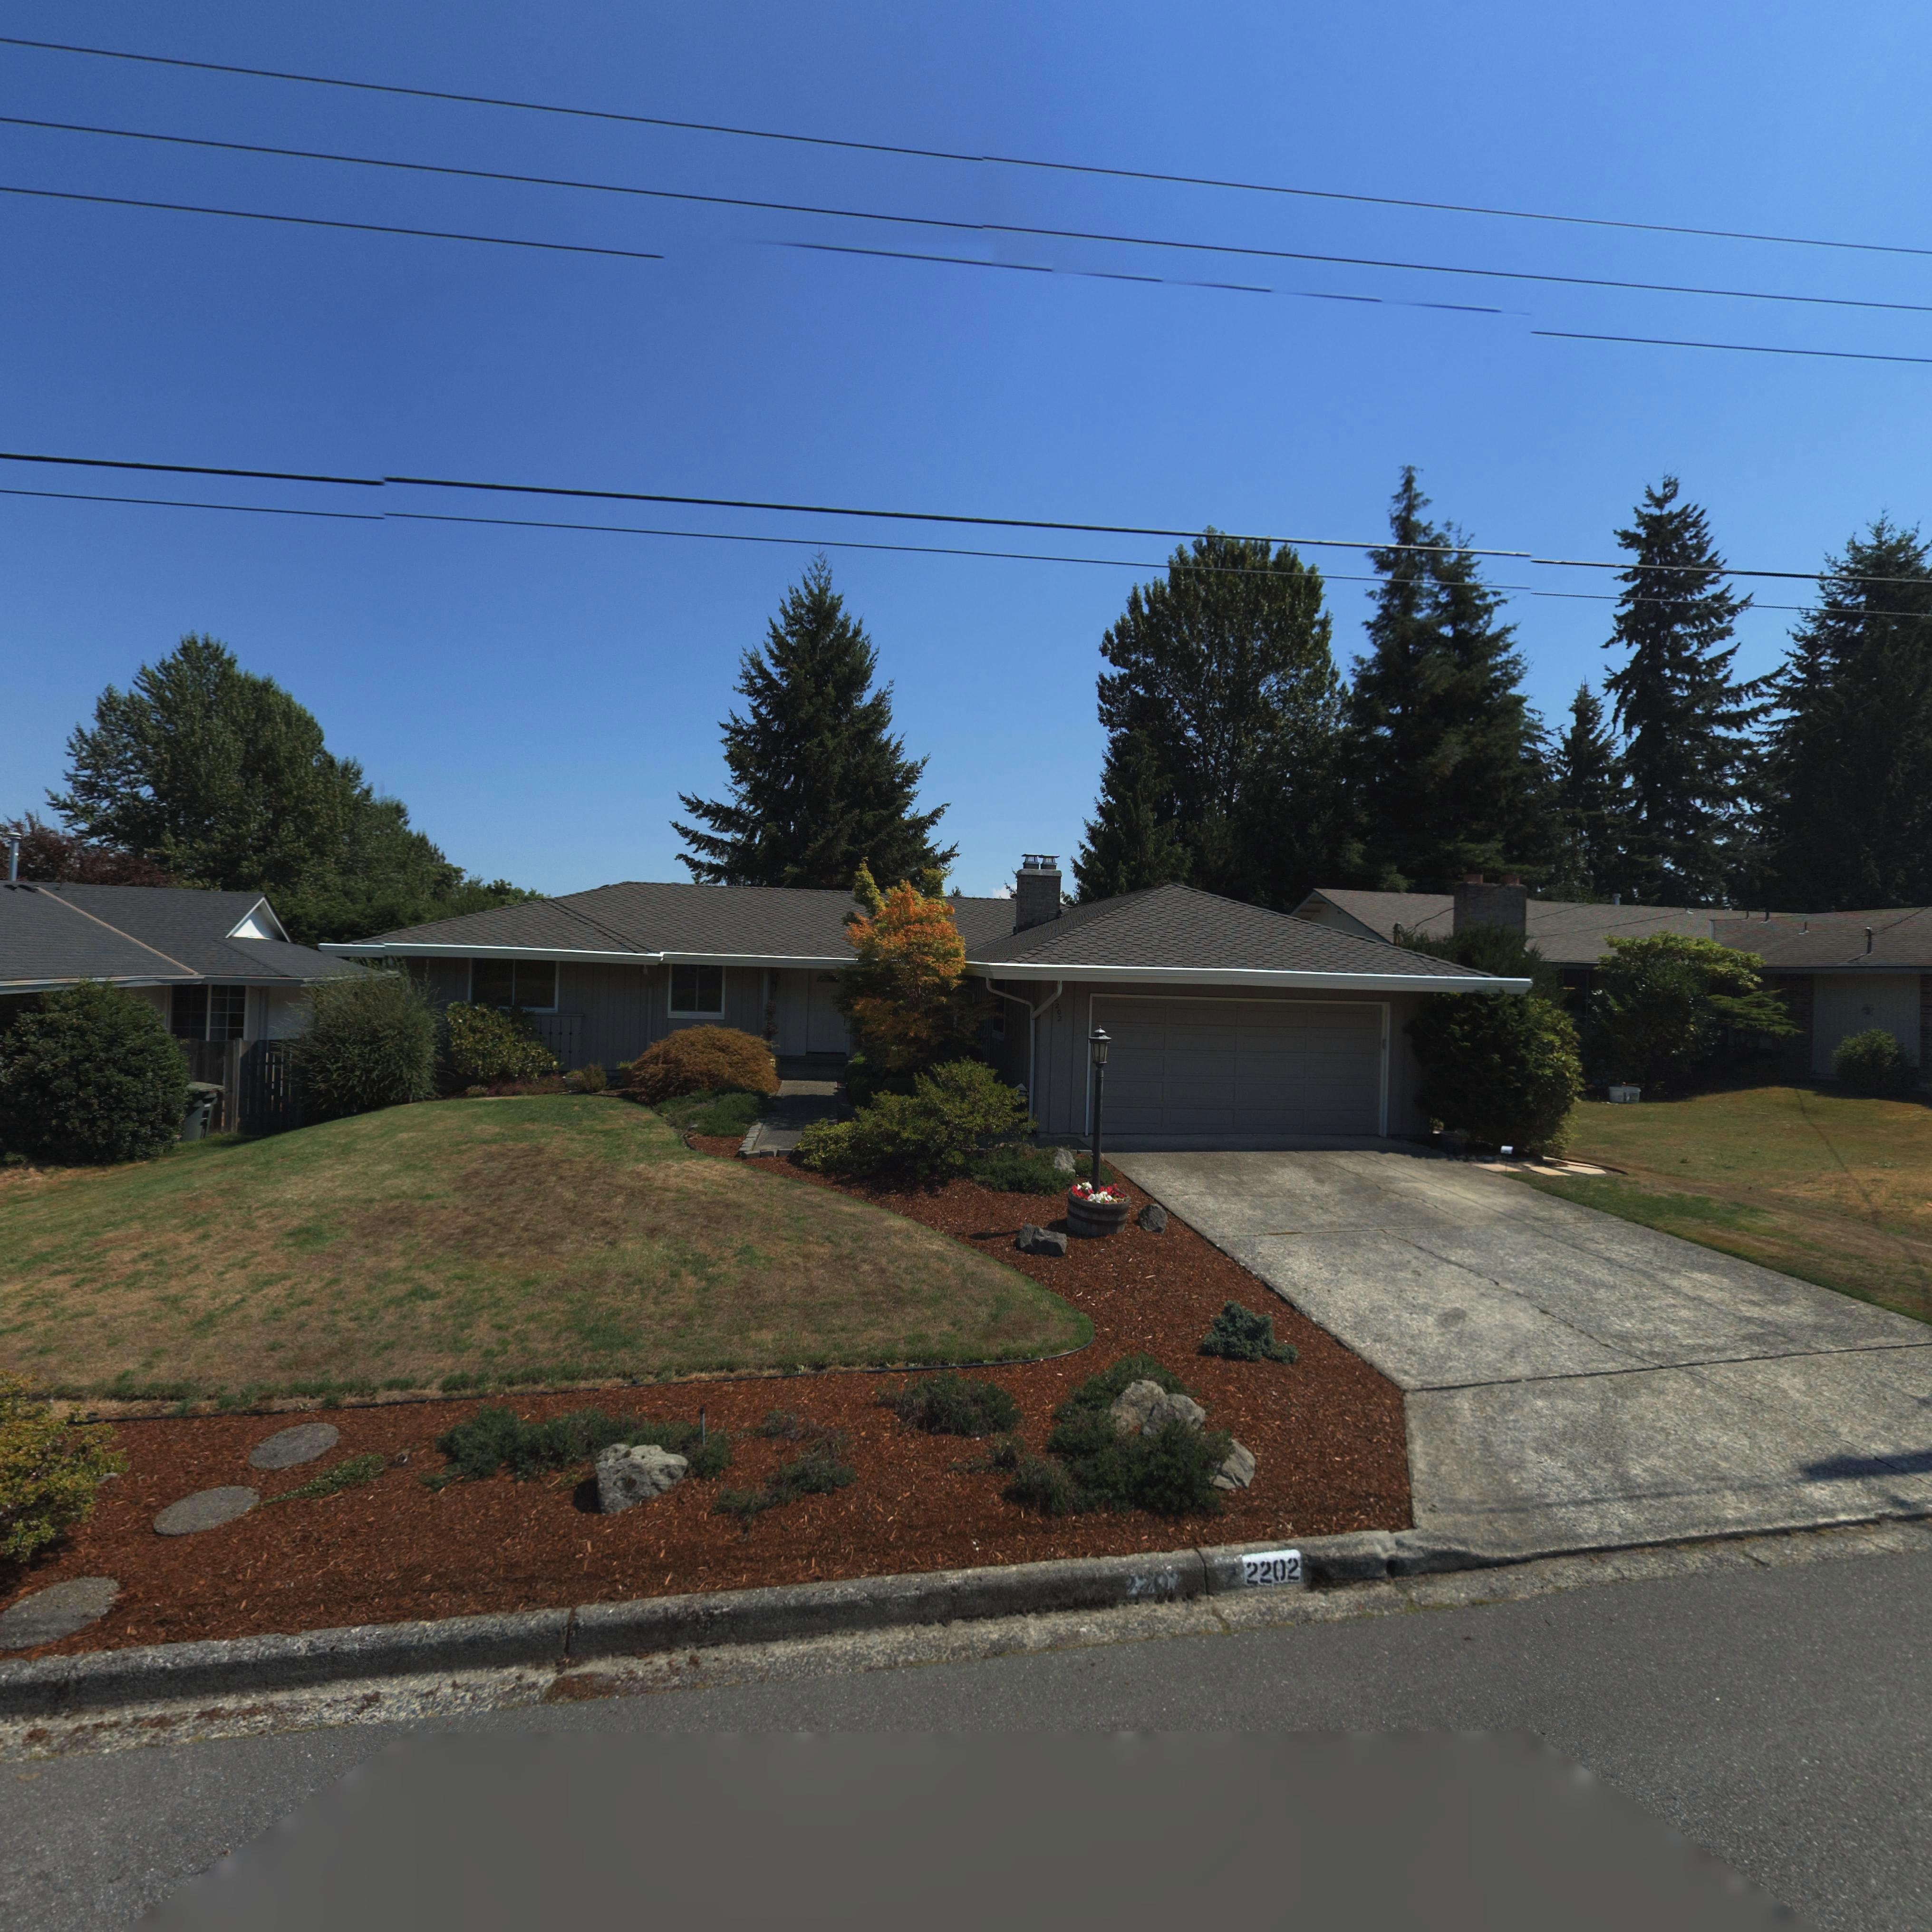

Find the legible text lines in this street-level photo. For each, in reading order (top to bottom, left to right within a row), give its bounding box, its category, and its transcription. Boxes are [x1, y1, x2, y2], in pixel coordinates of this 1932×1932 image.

[1053, 999, 1062, 1025] StreetNumber: *202
[1244, 1553, 1306, 1590] StreetNumber: 2202